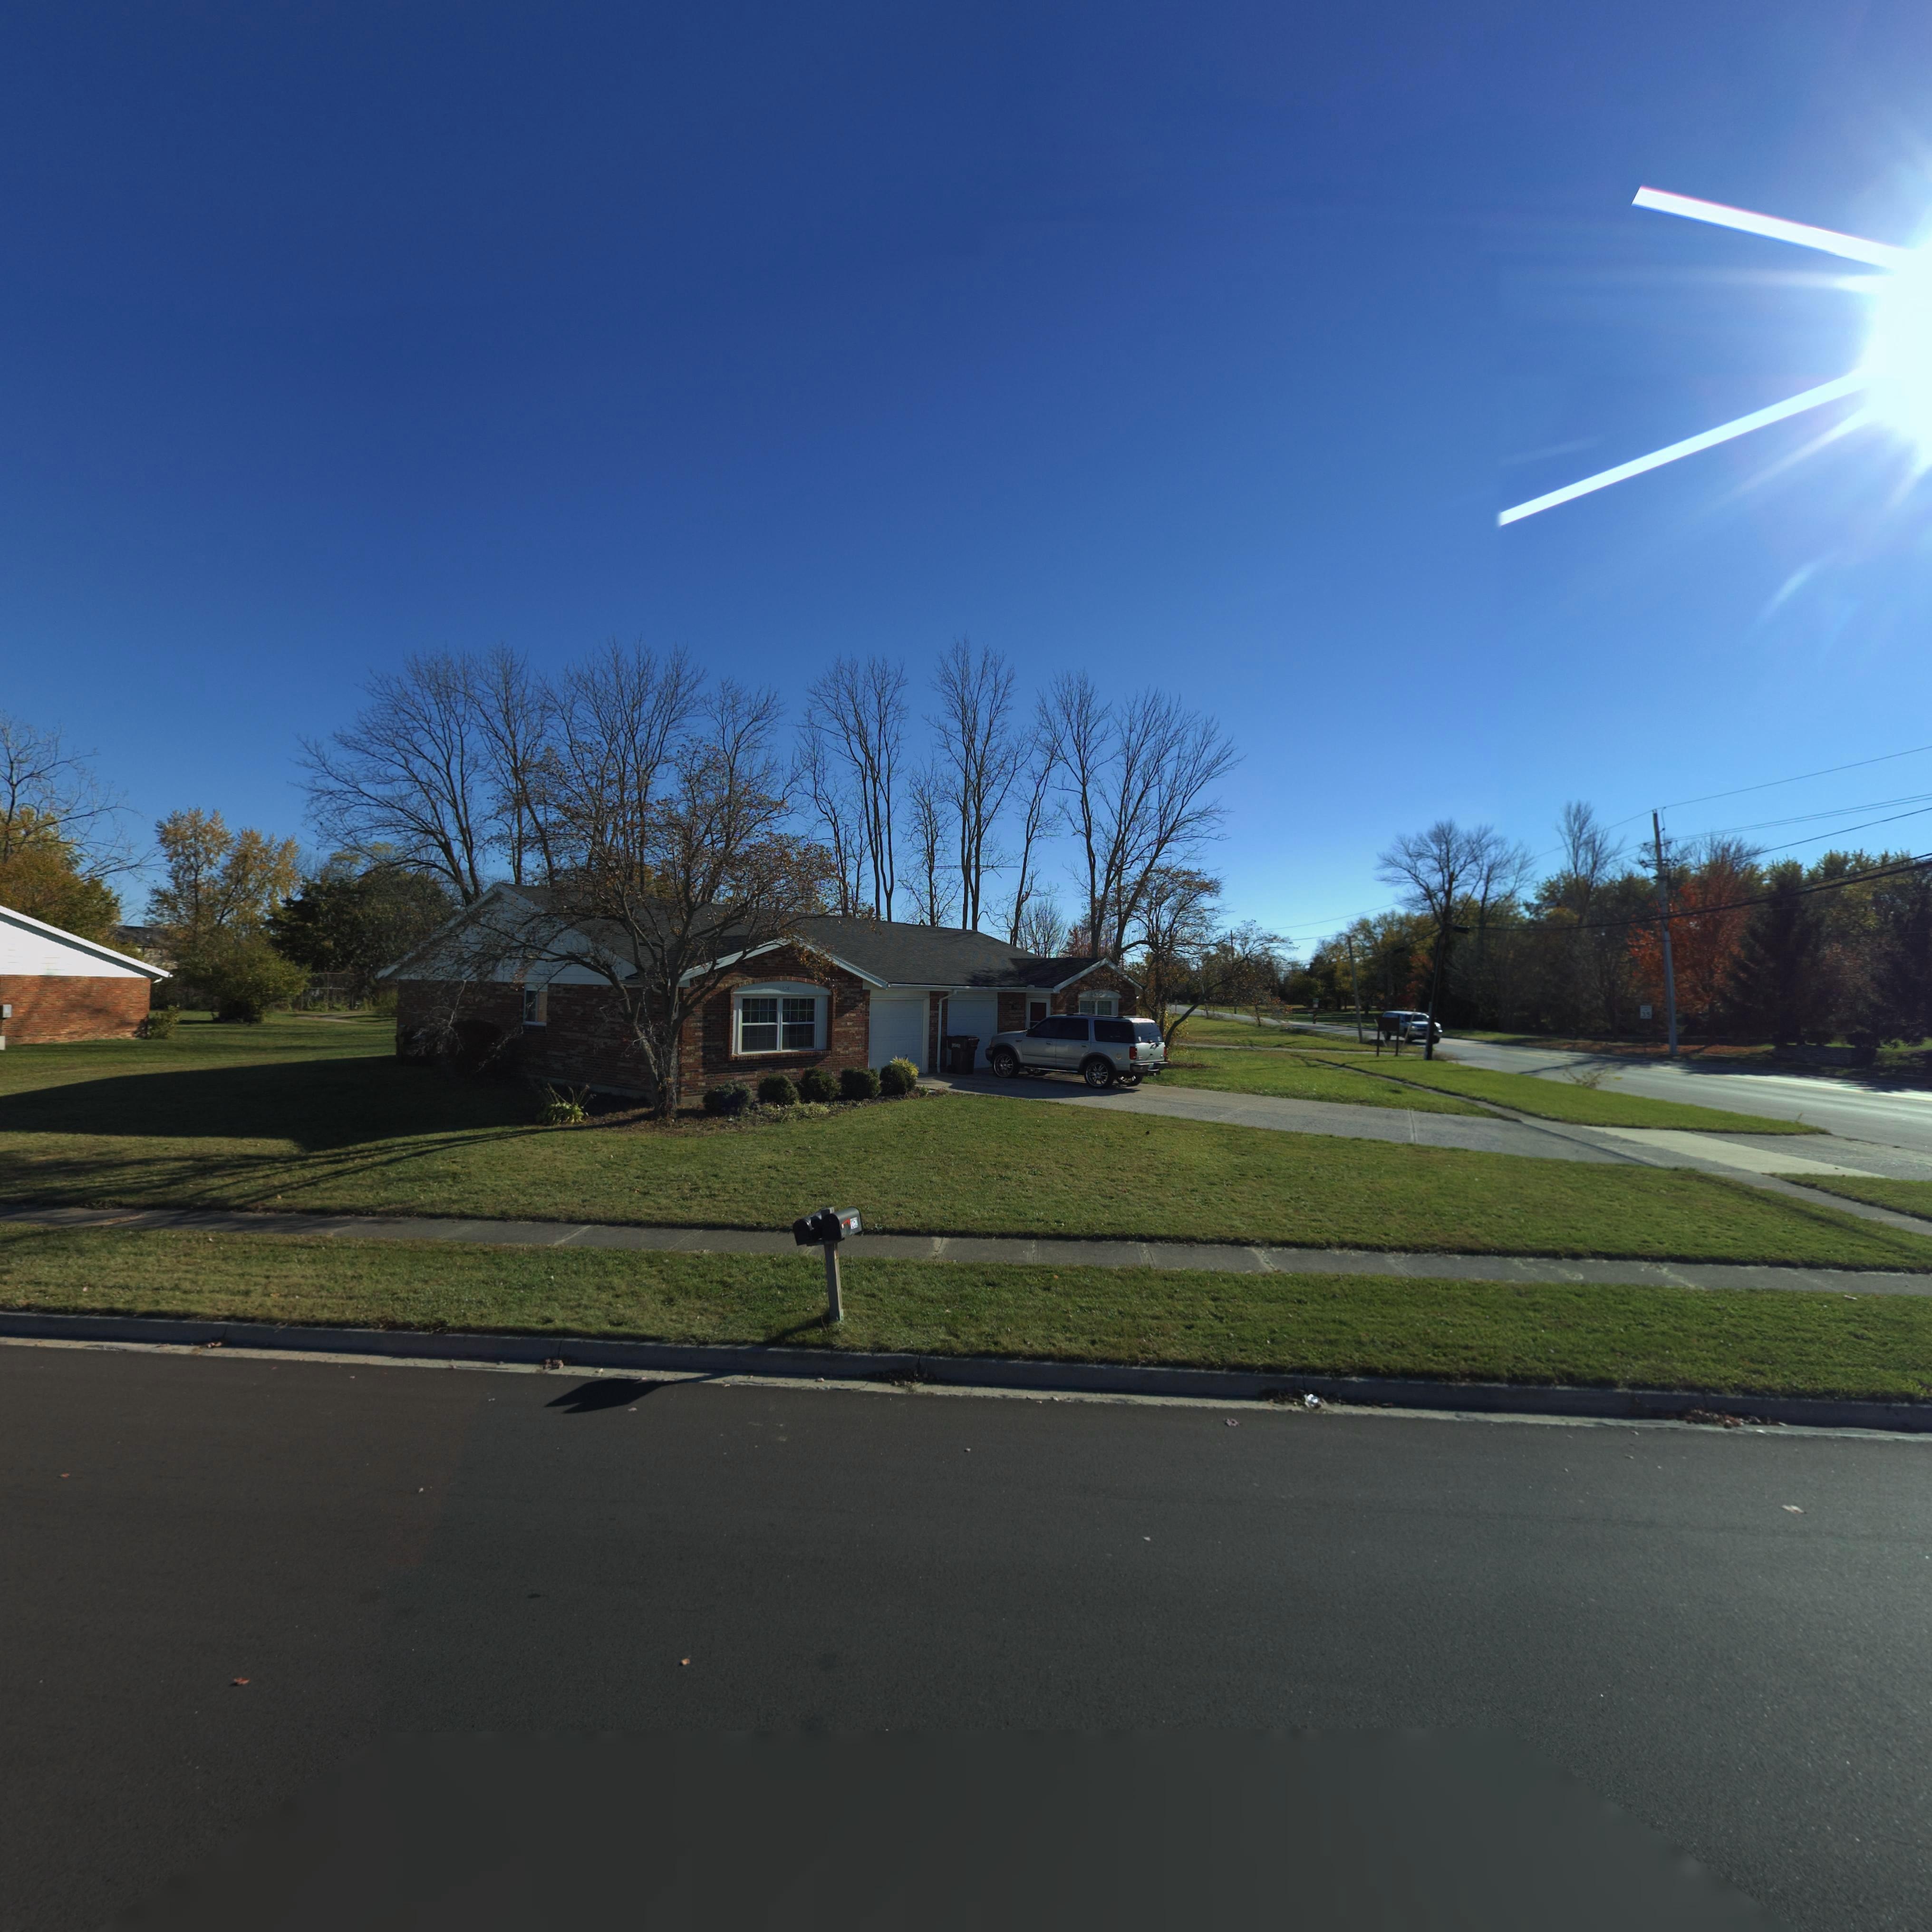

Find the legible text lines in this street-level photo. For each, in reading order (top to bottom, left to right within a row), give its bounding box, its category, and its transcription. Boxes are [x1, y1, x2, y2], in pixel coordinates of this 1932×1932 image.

[779, 985, 791, 991] StreetNumber: 125*
[850, 1217, 859, 1230] StreetNumber: 1252